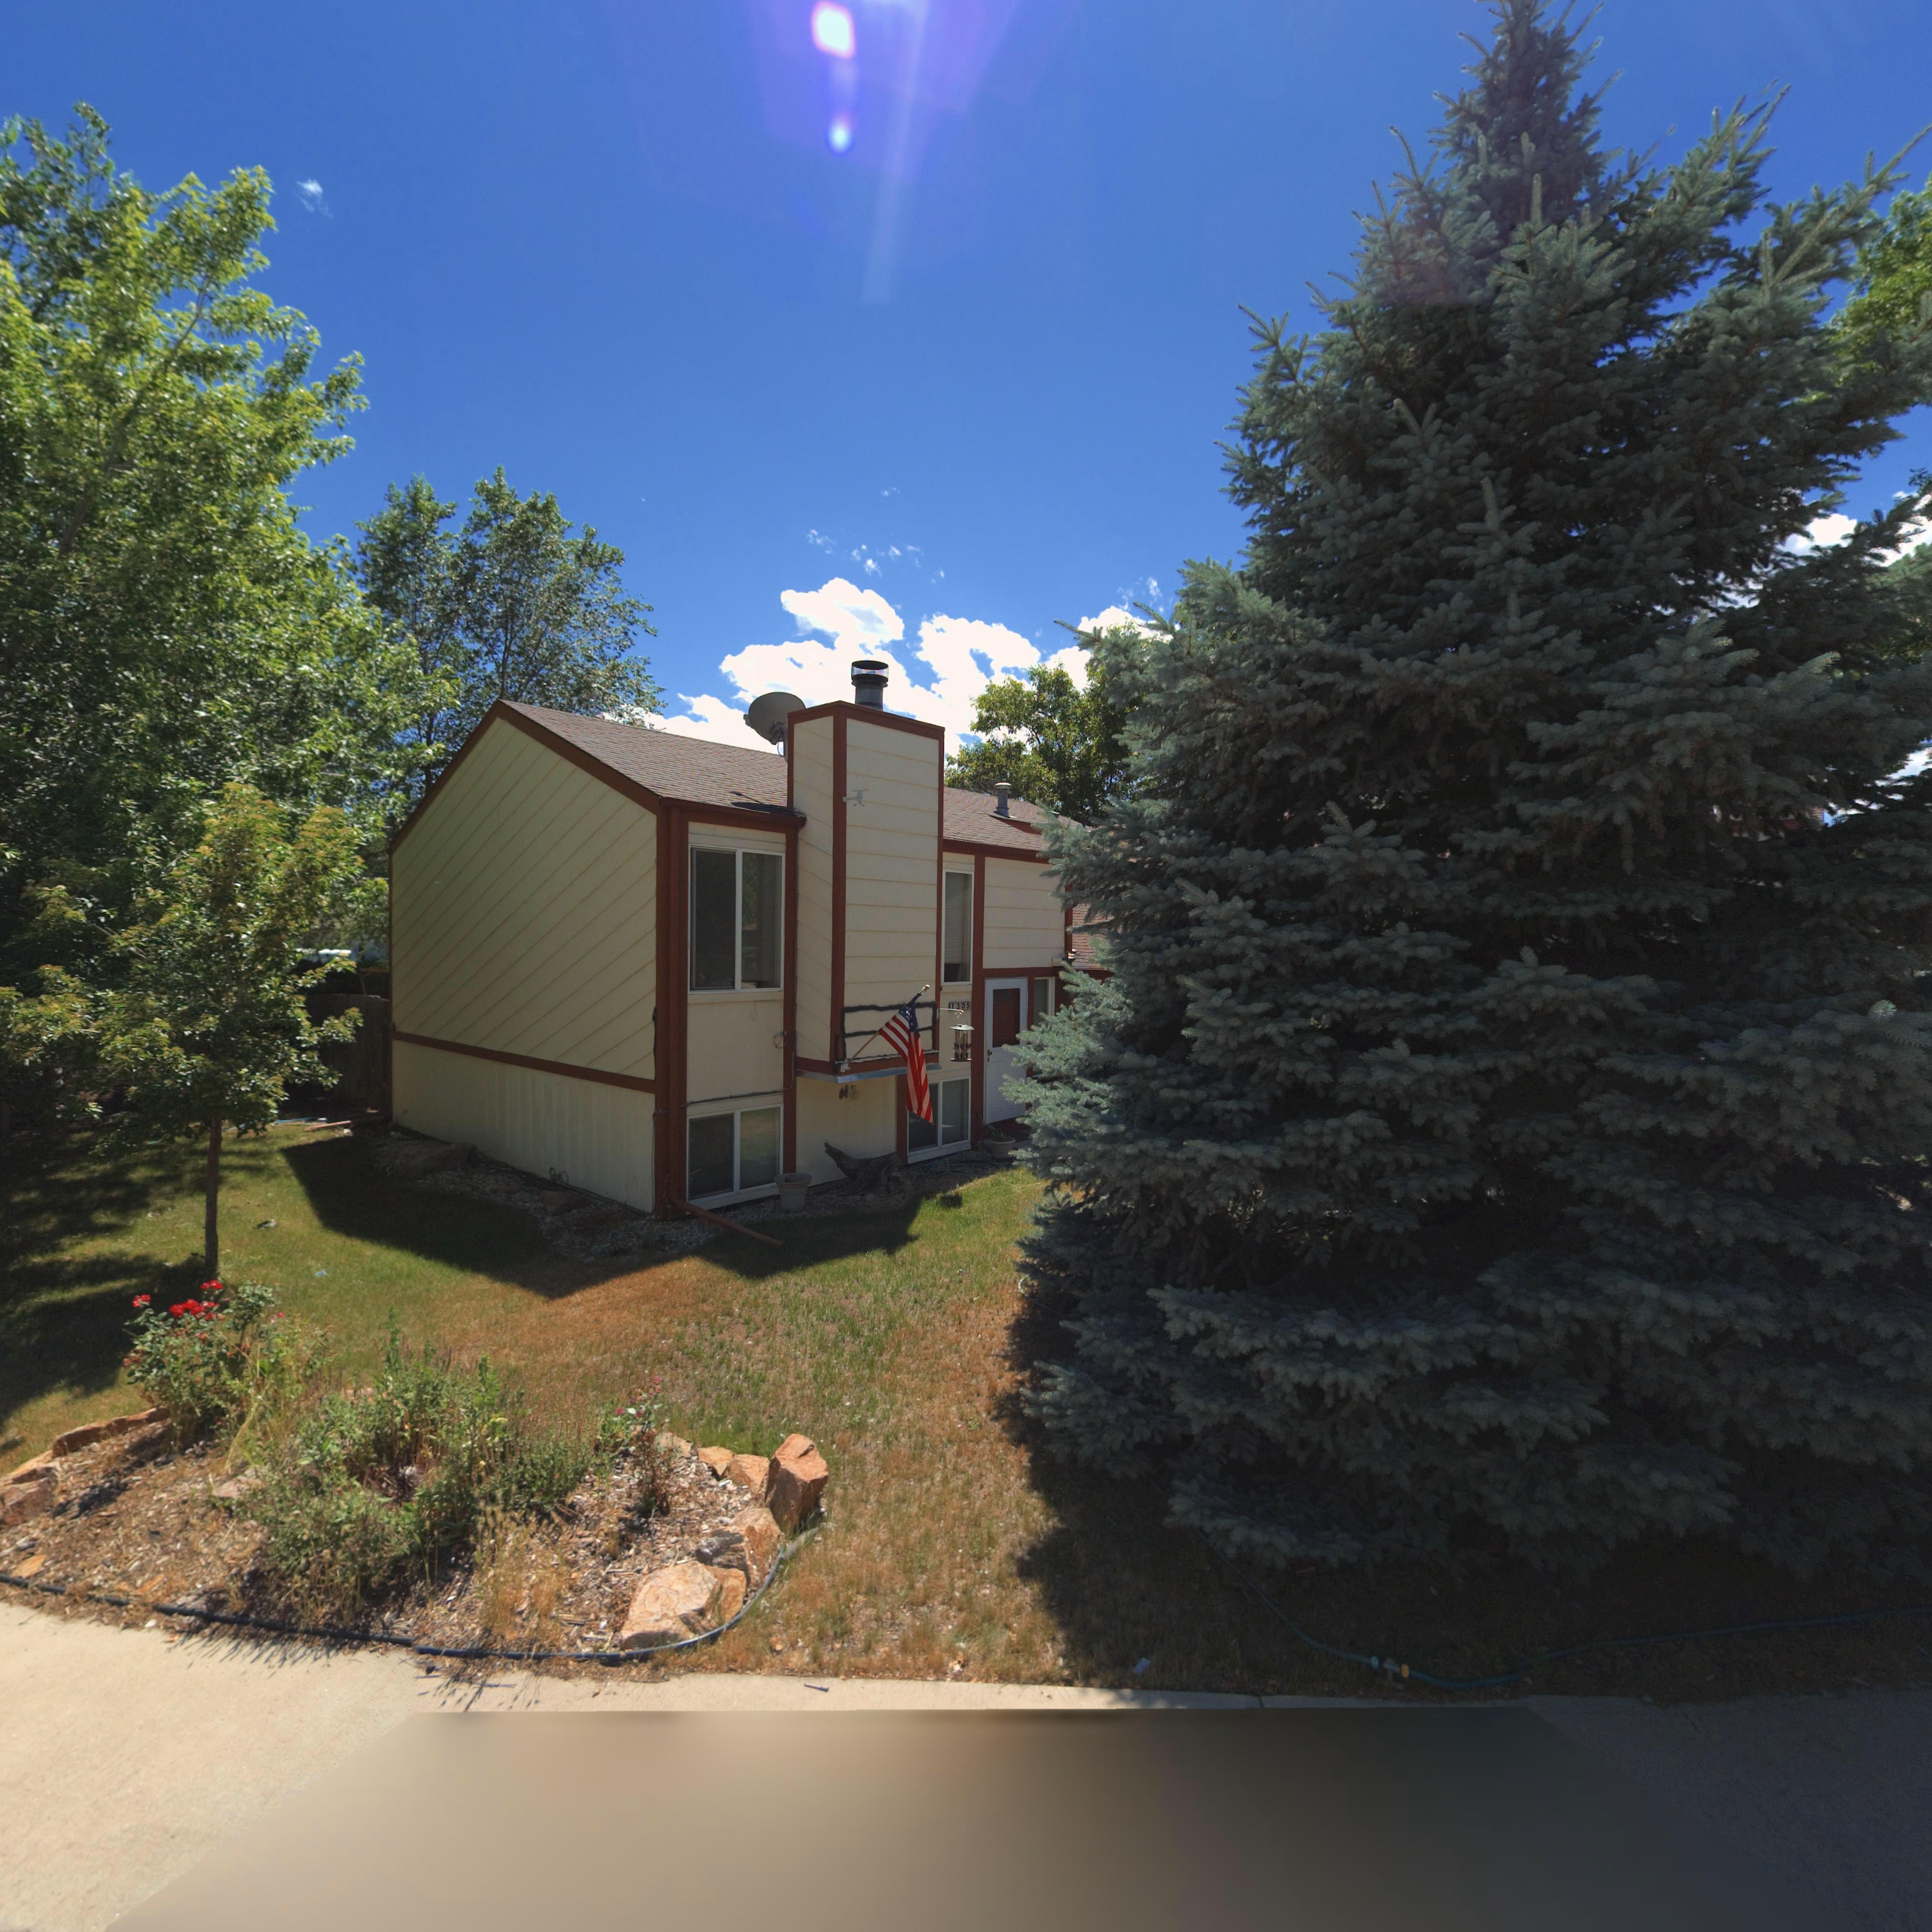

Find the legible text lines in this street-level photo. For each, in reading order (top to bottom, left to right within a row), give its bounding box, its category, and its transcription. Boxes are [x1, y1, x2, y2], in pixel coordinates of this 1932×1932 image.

[951, 1002, 970, 1009] StreetNumber: 1305